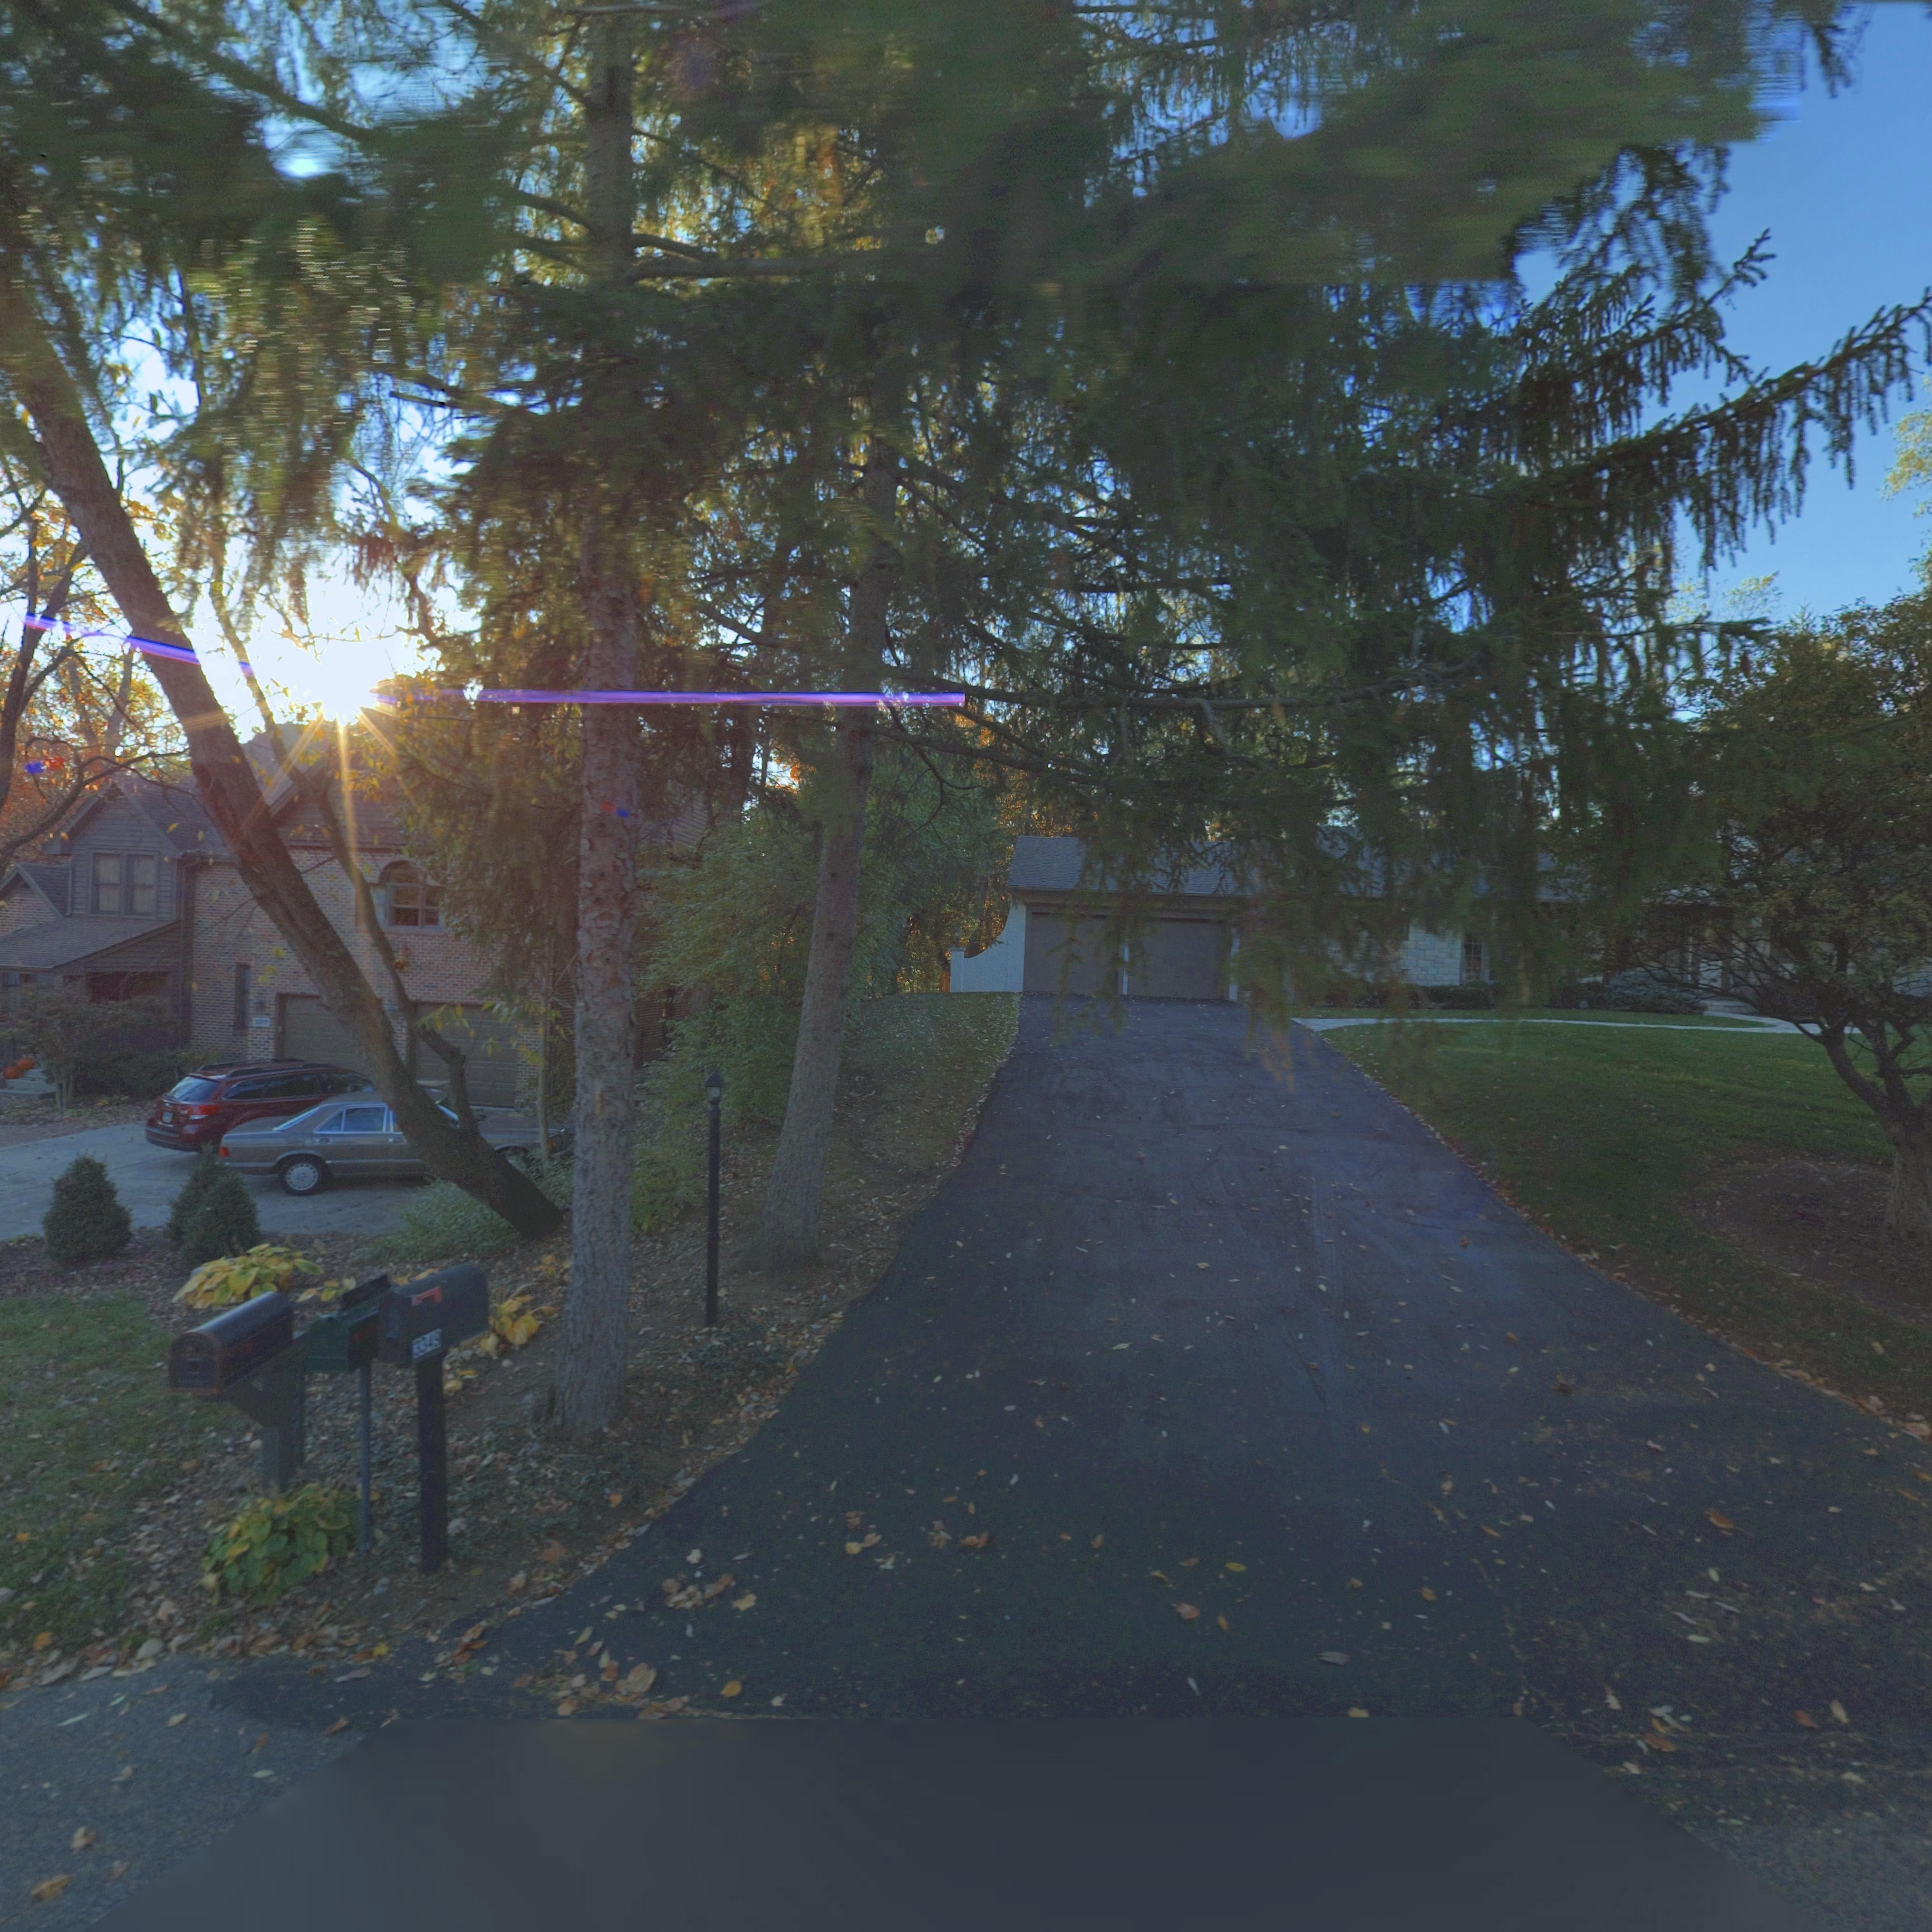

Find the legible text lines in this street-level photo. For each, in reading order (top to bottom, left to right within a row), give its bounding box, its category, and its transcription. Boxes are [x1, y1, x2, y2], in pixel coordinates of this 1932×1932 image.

[254, 1019, 268, 1025] StreetNumber: 3377
[412, 1328, 441, 1359] StreetNumber: 3449